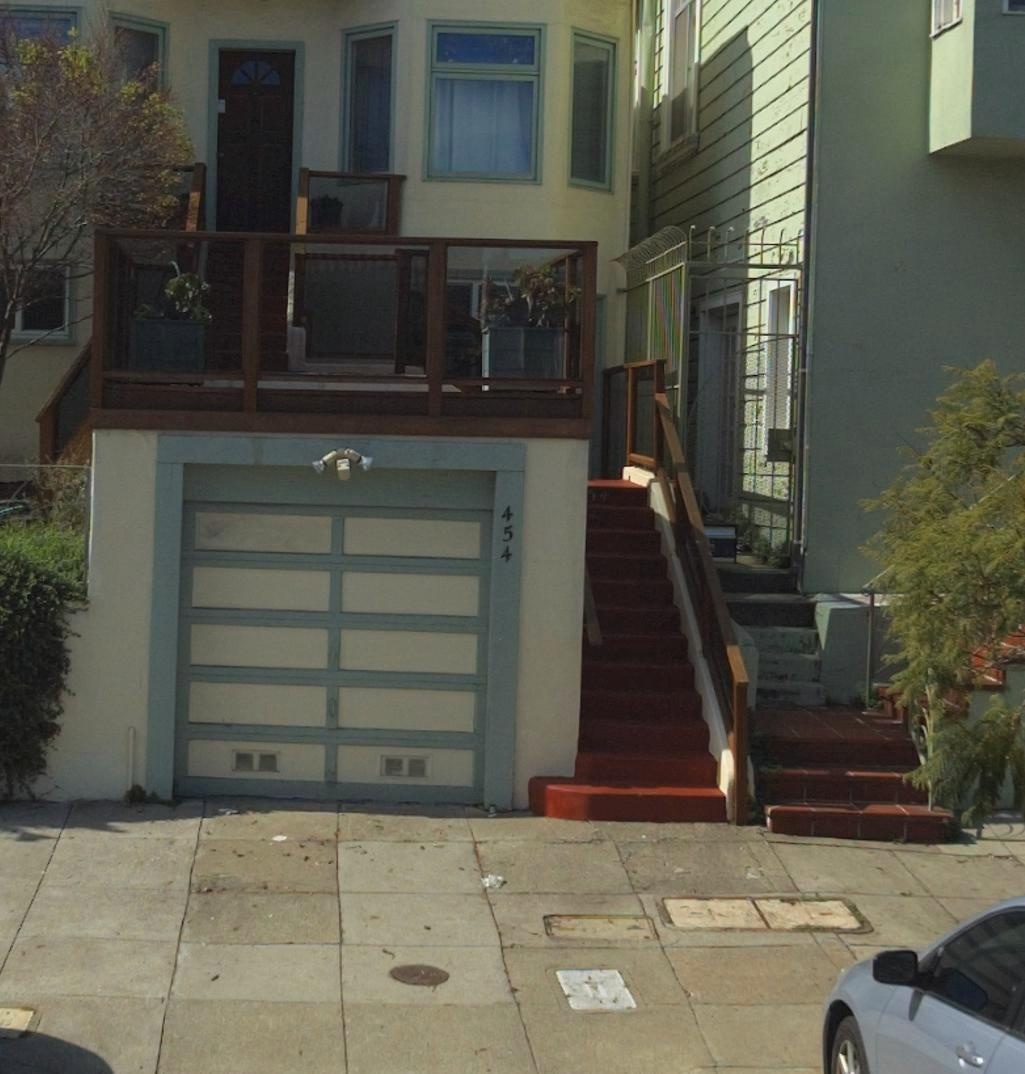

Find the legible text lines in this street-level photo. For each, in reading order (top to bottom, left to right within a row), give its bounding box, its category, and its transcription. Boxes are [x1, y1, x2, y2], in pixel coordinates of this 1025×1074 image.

[499, 504, 516, 565] StreetNumber: 454